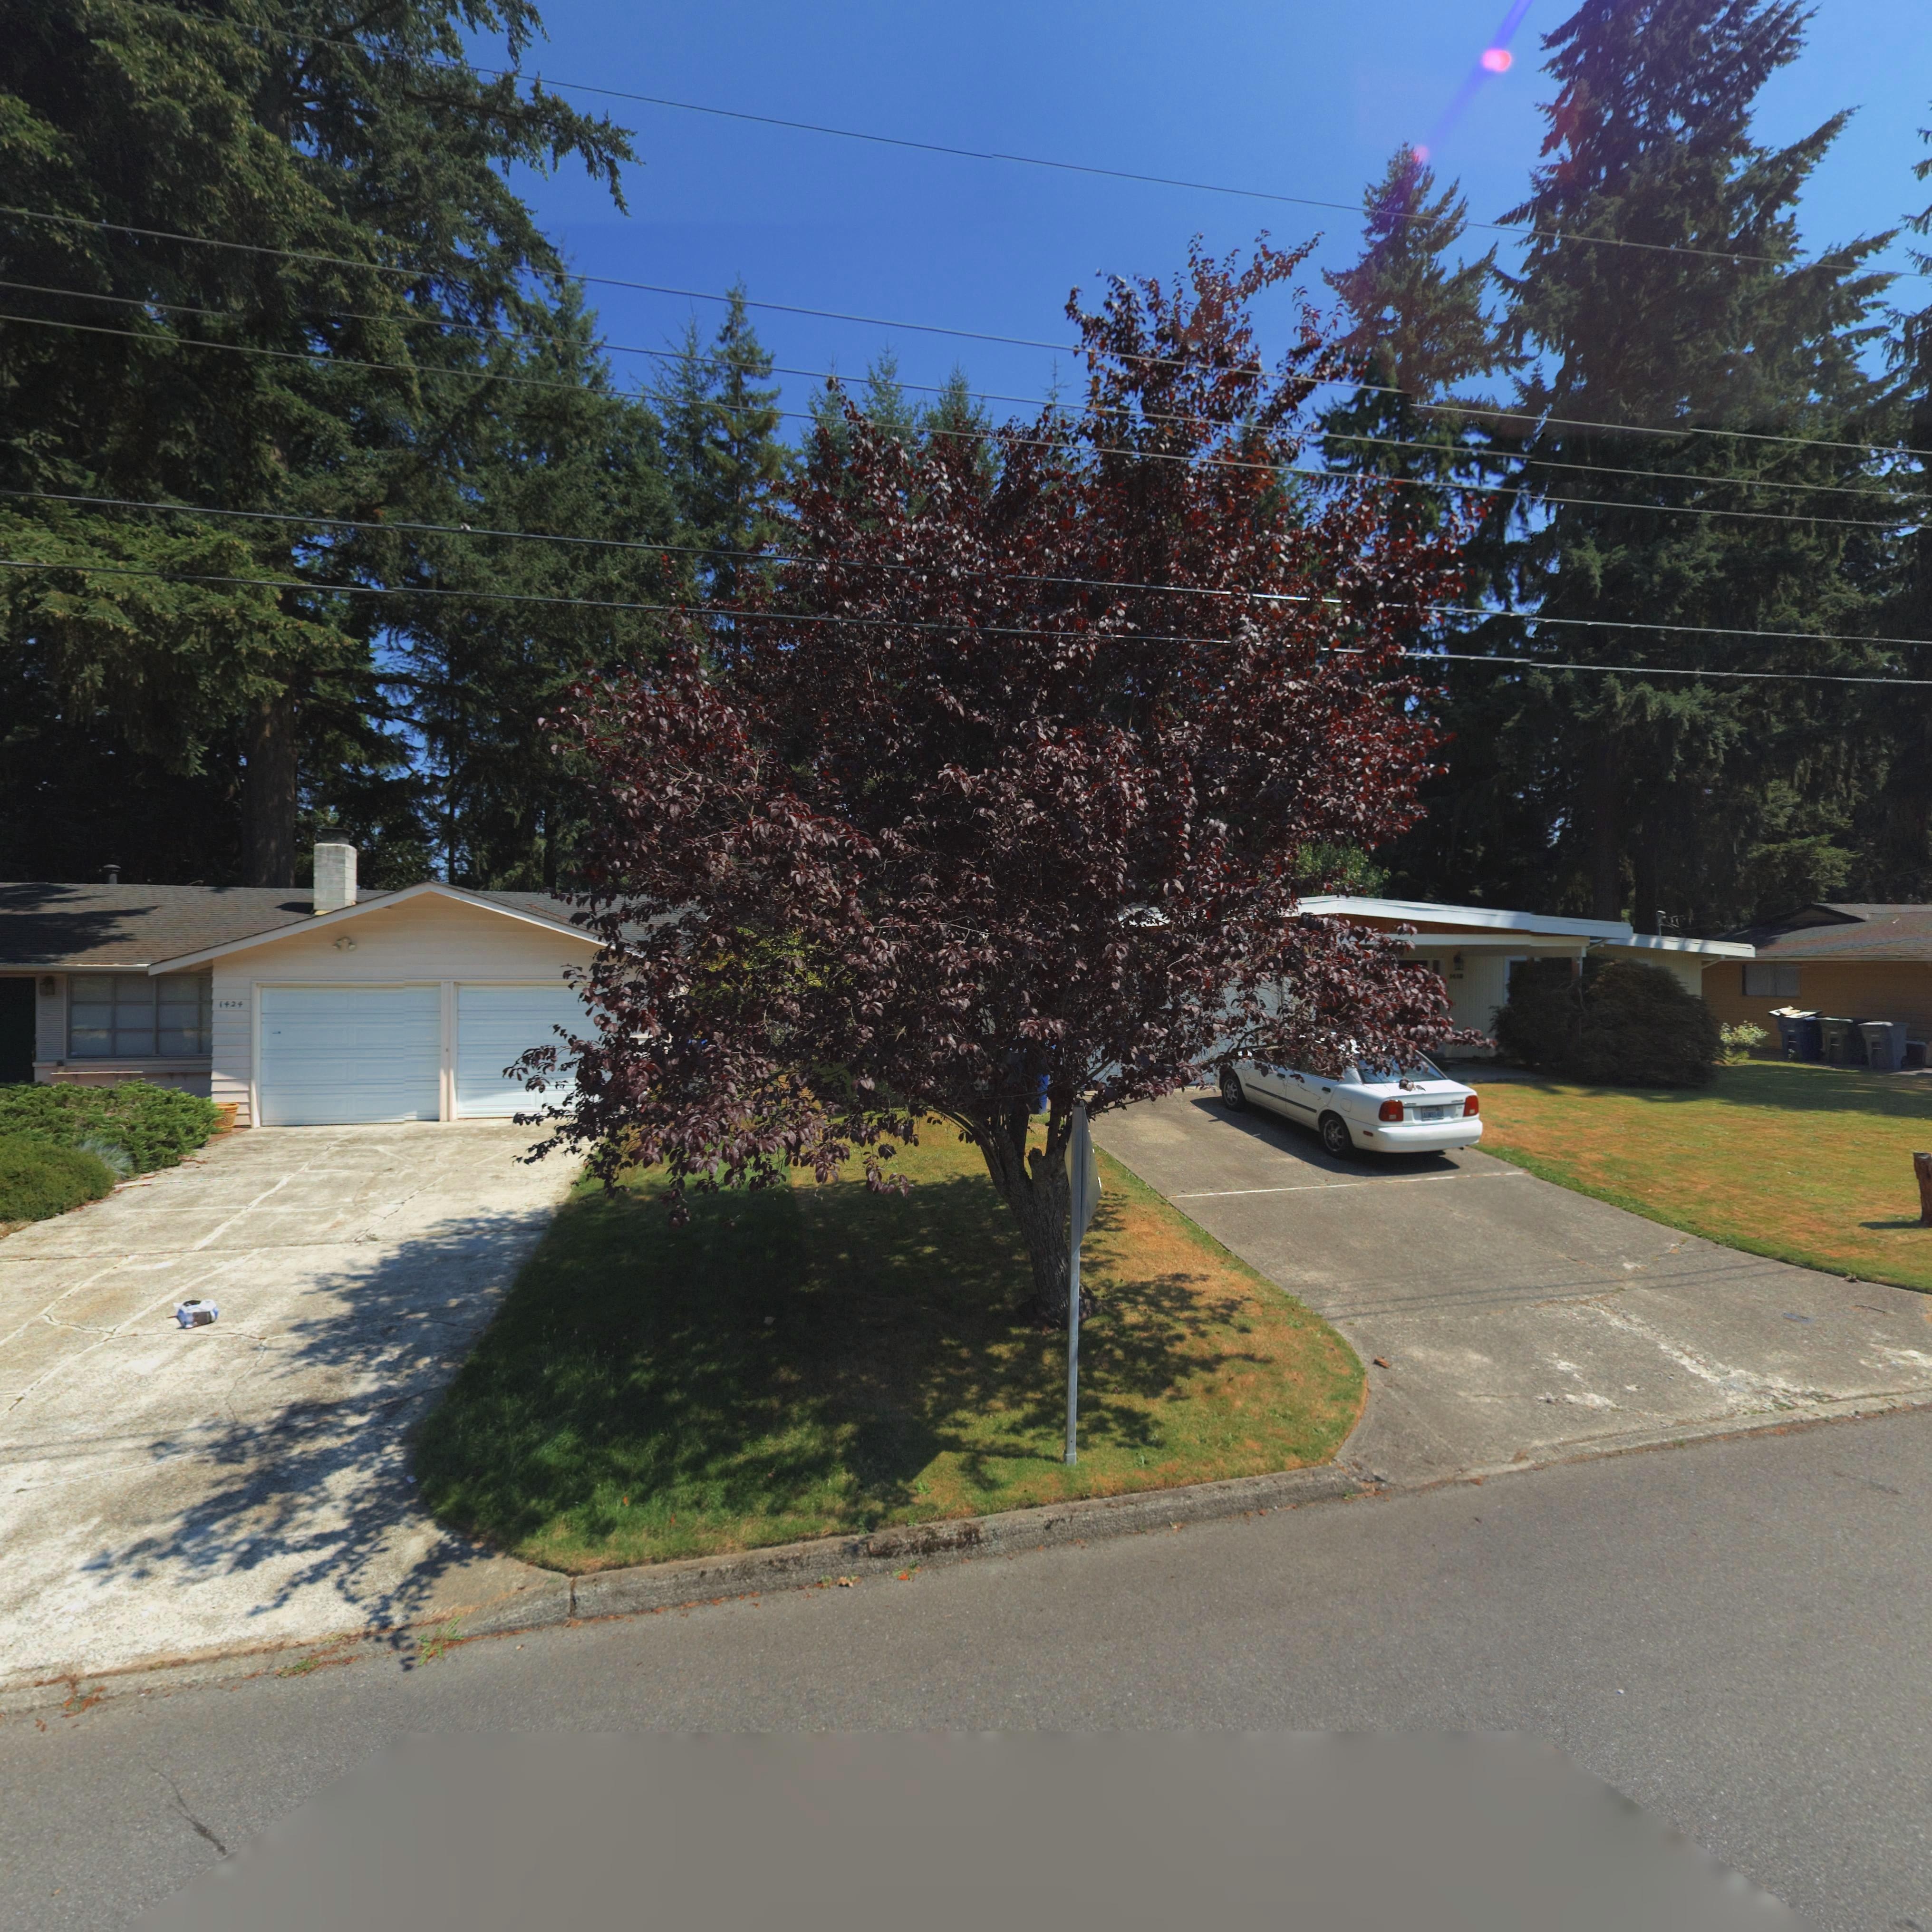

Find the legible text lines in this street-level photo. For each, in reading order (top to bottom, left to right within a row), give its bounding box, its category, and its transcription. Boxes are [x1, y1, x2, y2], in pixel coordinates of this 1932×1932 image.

[217, 1000, 244, 1007] StreetNumber: 1424